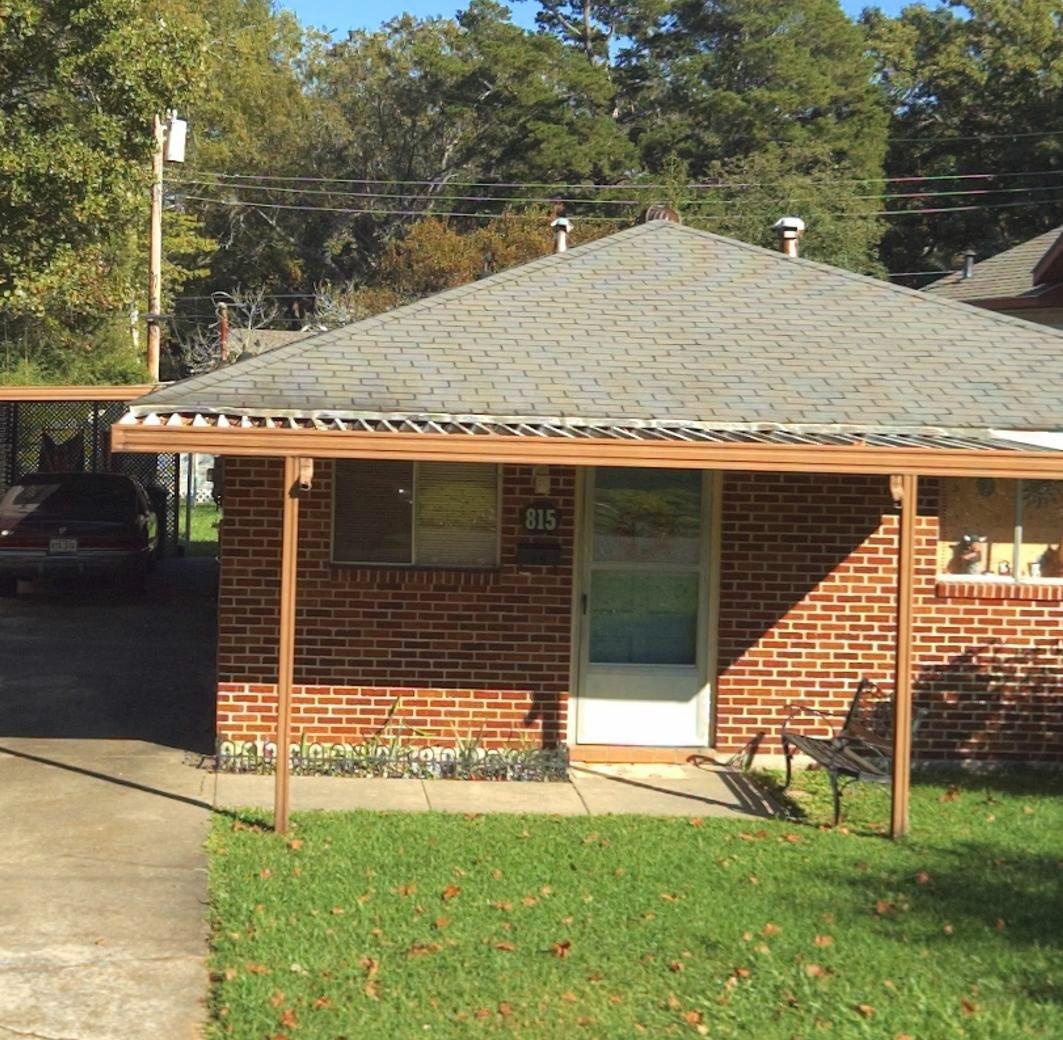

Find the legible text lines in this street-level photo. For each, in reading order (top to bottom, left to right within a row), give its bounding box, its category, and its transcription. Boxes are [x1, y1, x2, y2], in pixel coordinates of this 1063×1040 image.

[523, 505, 559, 532] StreetNumber: 815